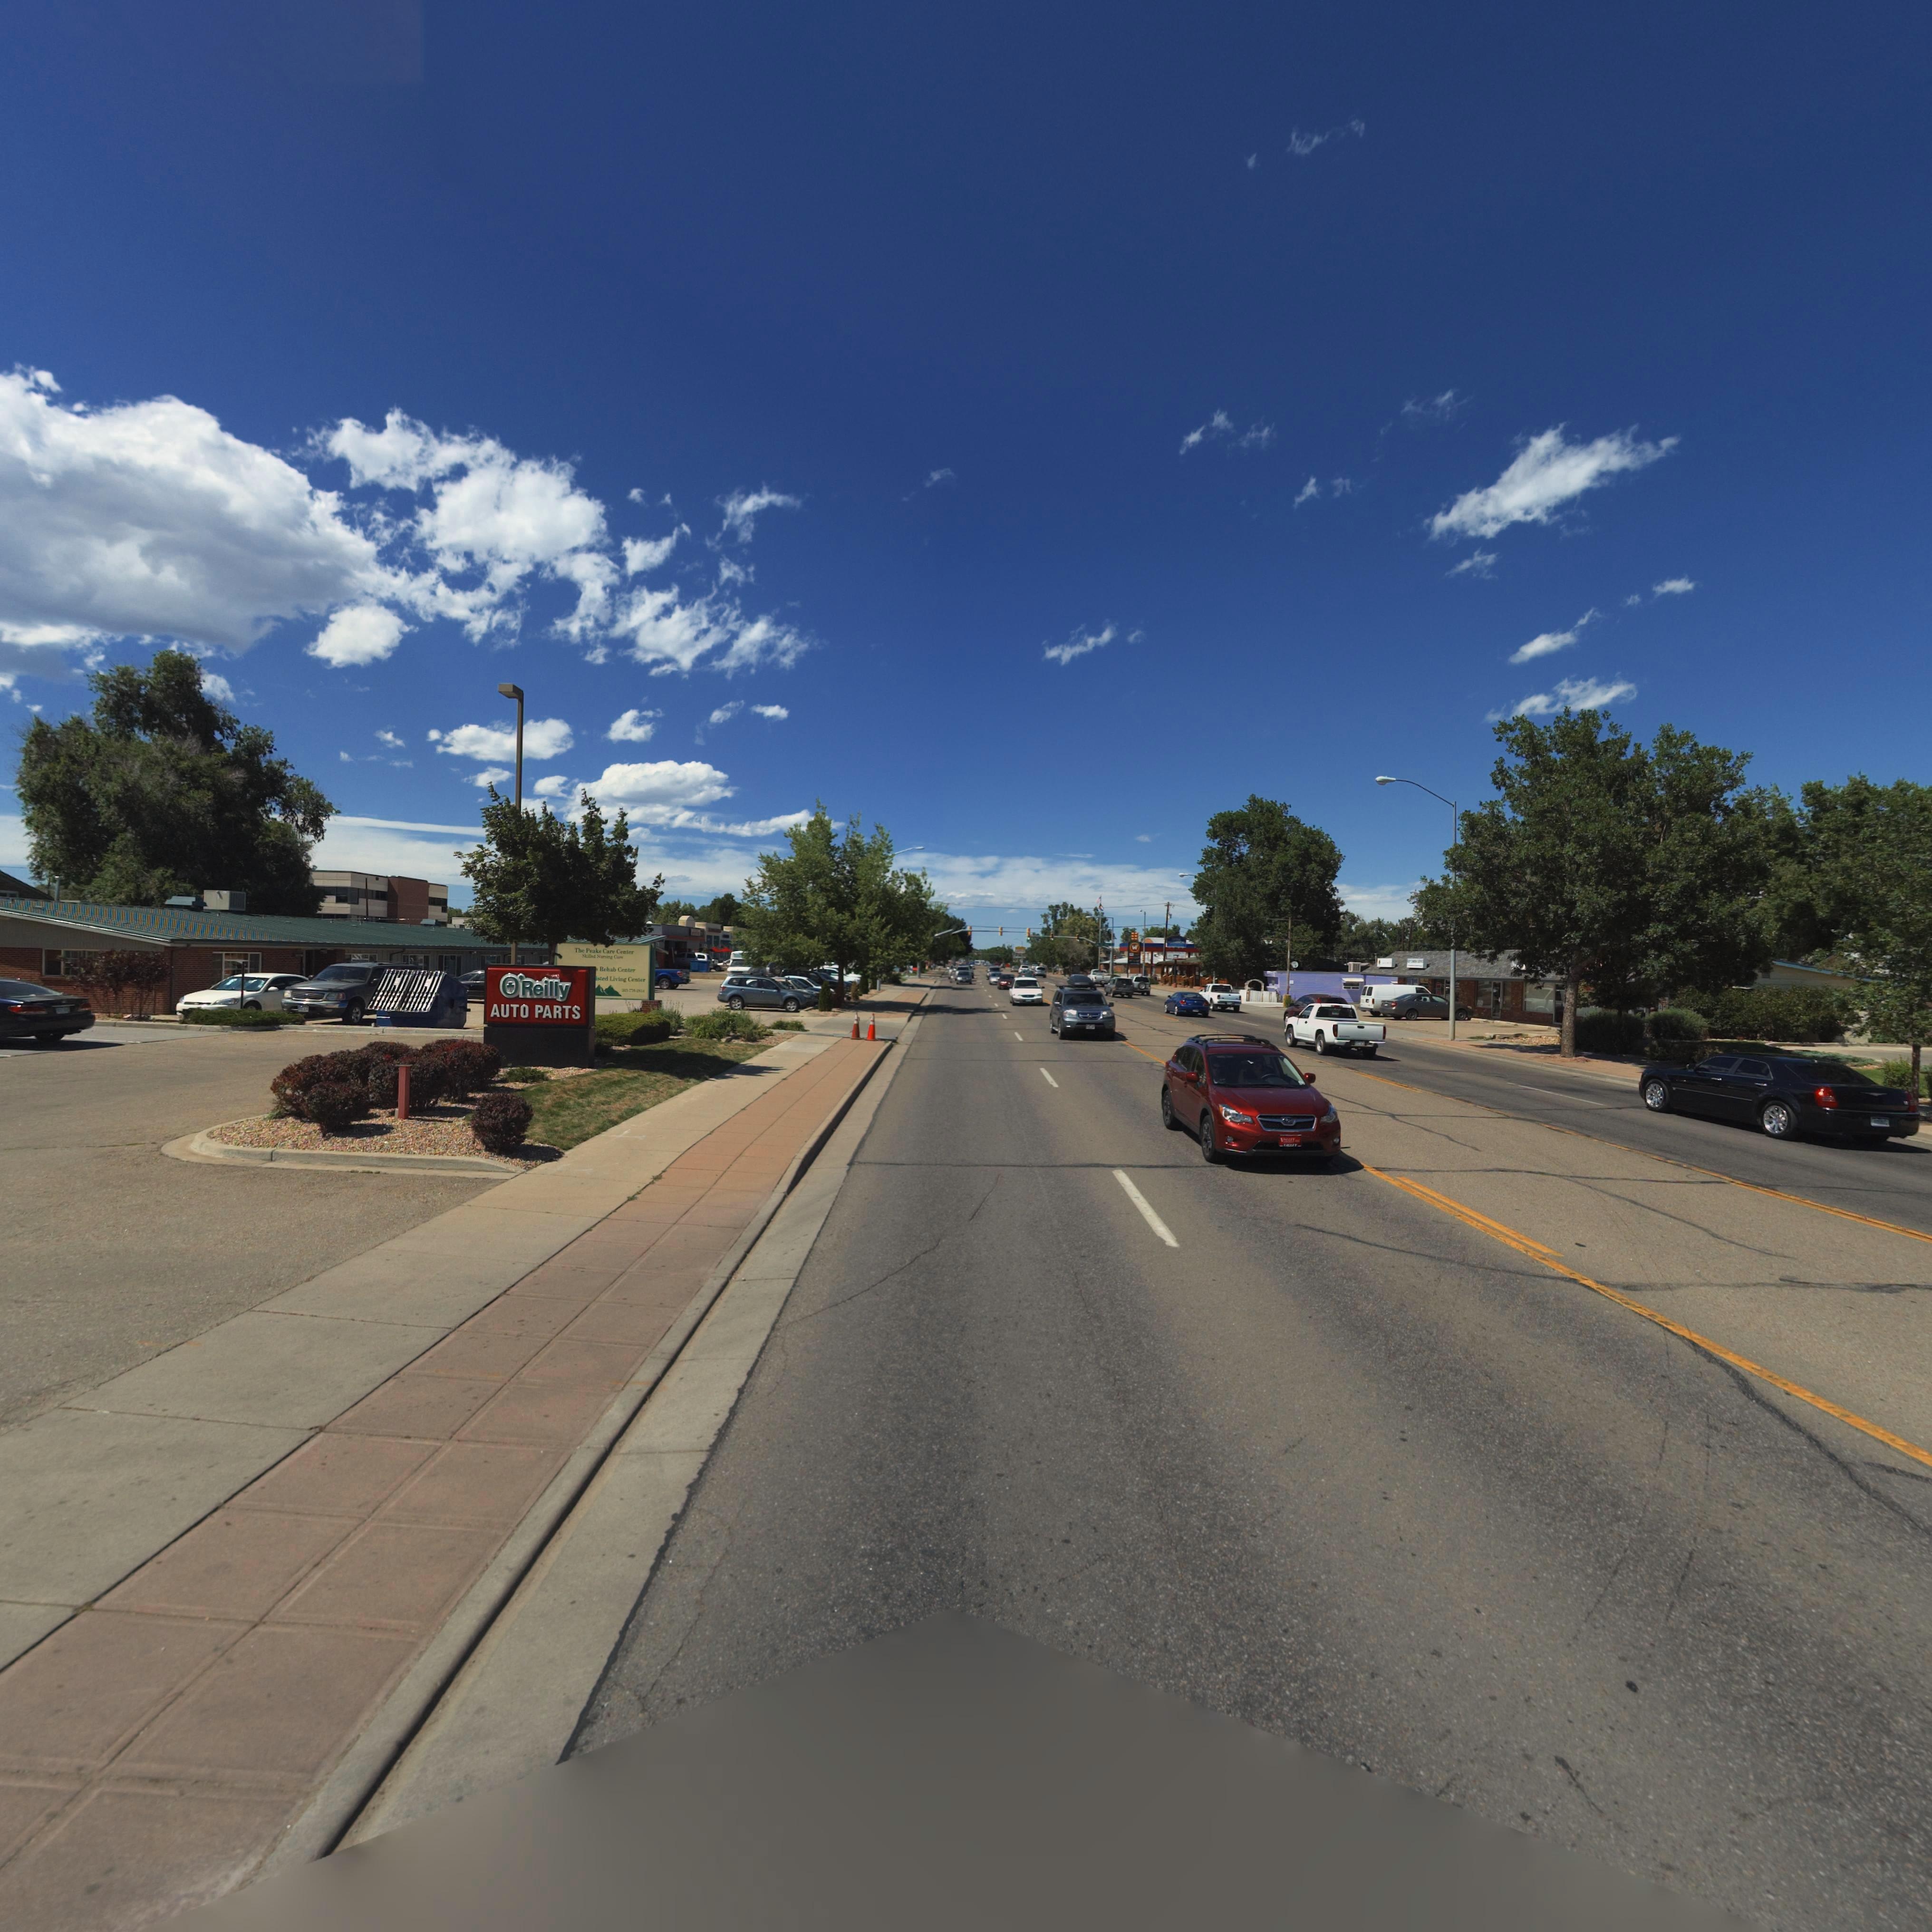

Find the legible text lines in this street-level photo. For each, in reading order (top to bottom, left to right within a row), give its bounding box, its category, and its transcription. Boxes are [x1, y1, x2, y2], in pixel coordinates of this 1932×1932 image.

[574, 947, 634, 954] BusinessName: The Peaks Care Center
[596, 966, 636, 972] BusinessName: *** ***** Rehab Center
[595, 976, 646, 983] BusinessName: st** Living Center
[502, 974, 570, 1000] BusinessName: O'Reilly
[489, 1003, 581, 1019] BusinessName: AUTO PARTS